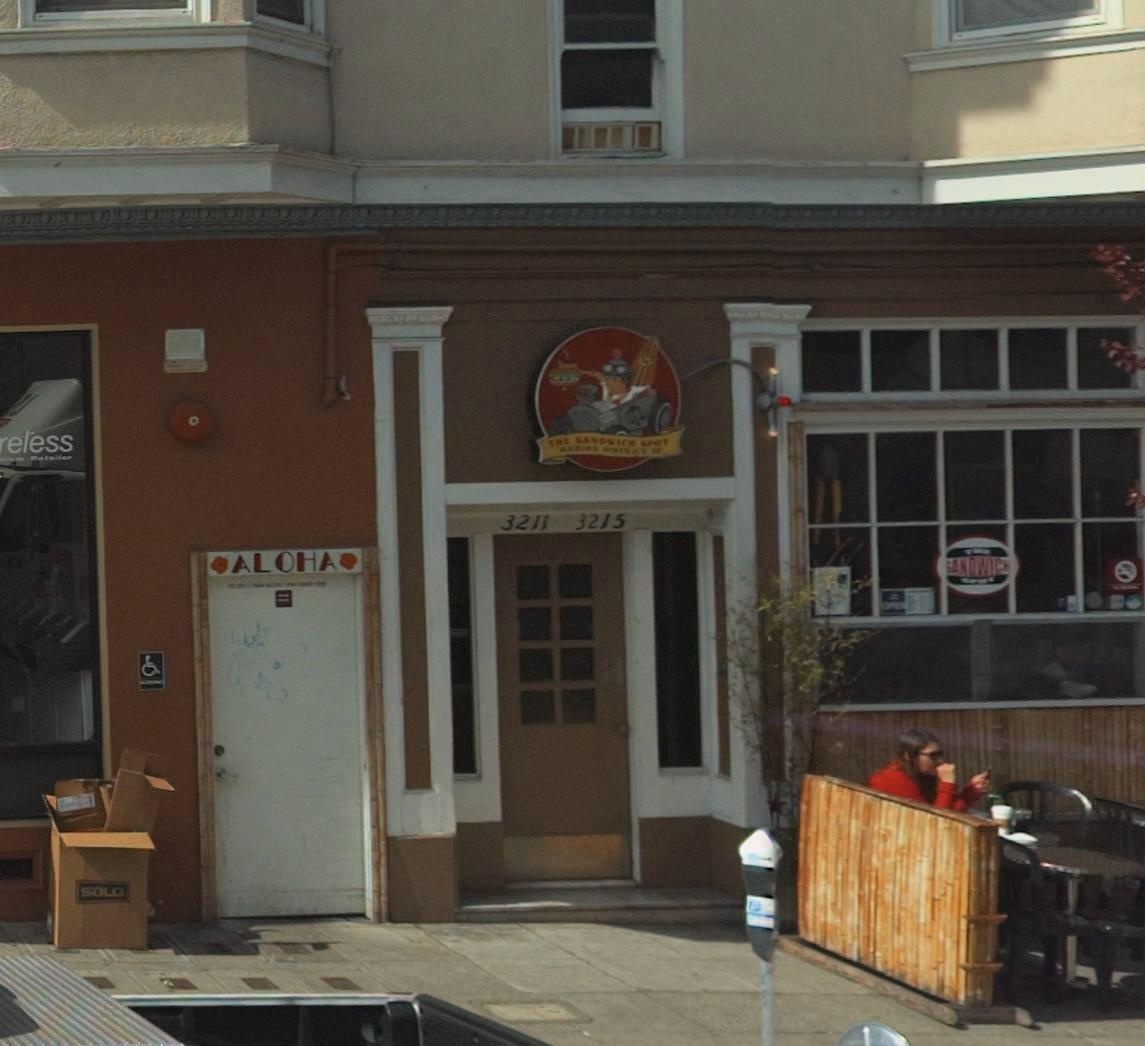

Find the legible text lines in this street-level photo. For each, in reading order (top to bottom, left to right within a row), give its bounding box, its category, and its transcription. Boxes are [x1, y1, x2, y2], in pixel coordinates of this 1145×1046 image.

[4, 427, 77, 456] BusinessName: eless
[540, 433, 671, 450] BusinessName: THE SANDWICH SPOT
[494, 512, 553, 534] StreetNumber: 3211
[571, 511, 630, 532] StreetNumber: 3215
[229, 549, 341, 576] None: ALOHA
[950, 554, 1006, 577] None: ANDWIC
[78, 884, 126, 900] None: SOLO